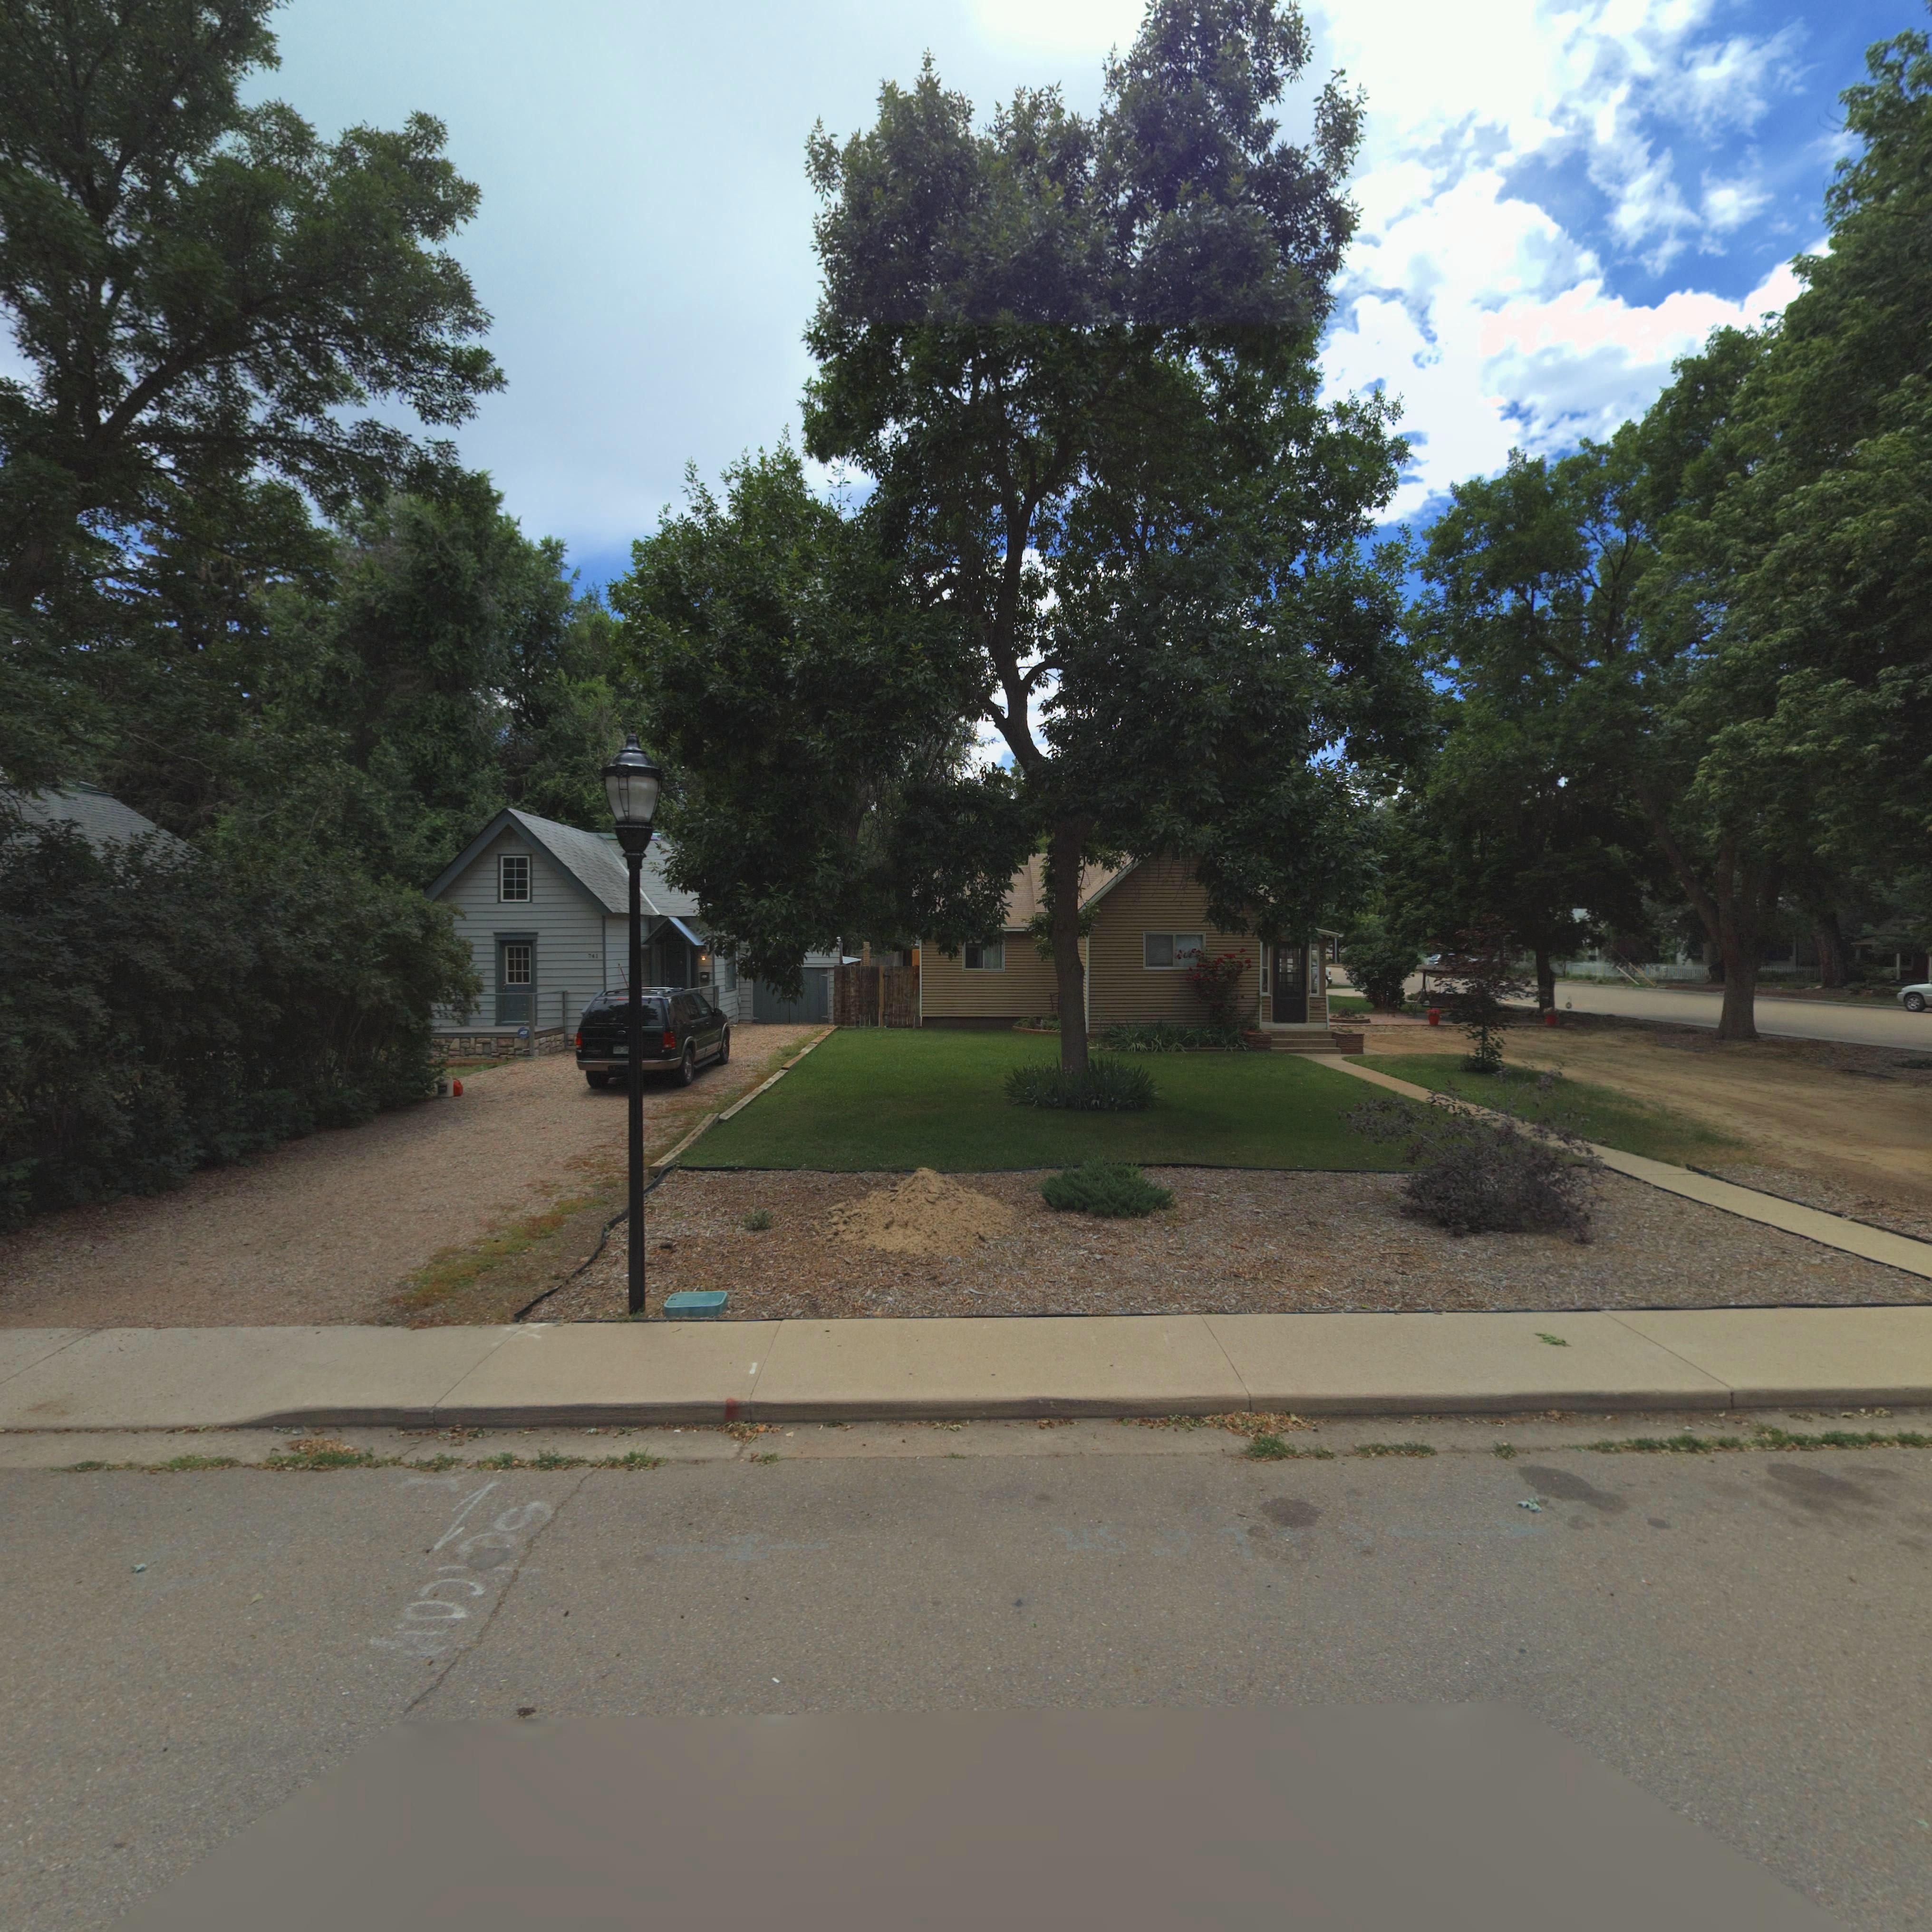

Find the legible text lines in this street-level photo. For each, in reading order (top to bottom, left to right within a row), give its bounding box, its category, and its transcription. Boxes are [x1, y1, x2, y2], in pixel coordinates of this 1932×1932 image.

[587, 953, 599, 959] StreetNumber: 74*